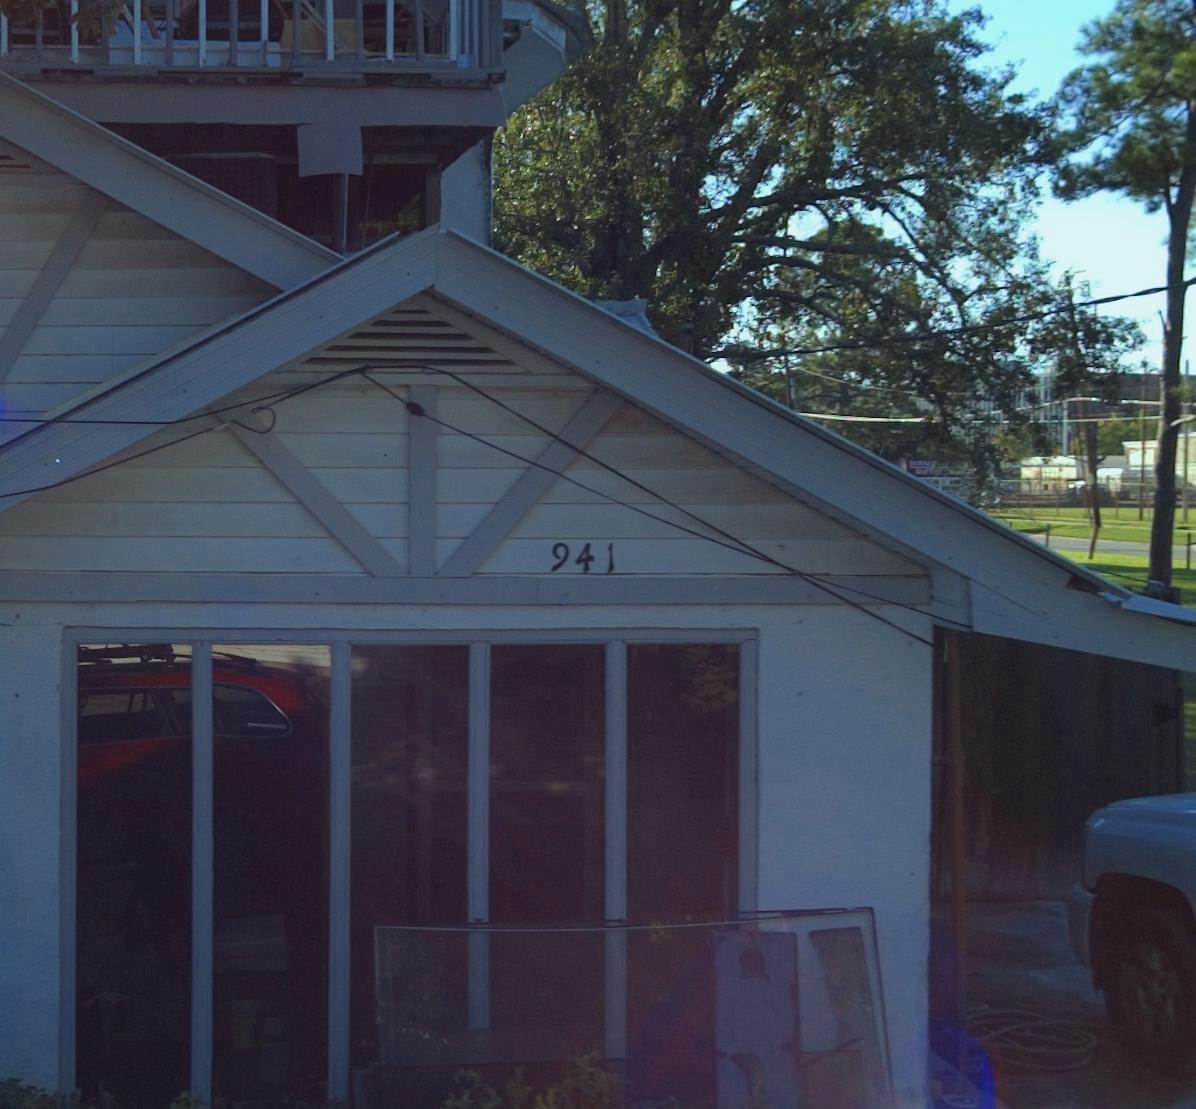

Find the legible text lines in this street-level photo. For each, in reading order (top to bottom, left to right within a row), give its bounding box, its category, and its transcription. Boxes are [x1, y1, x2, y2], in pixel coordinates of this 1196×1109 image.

[547, 539, 618, 577] StreetNumber: 941